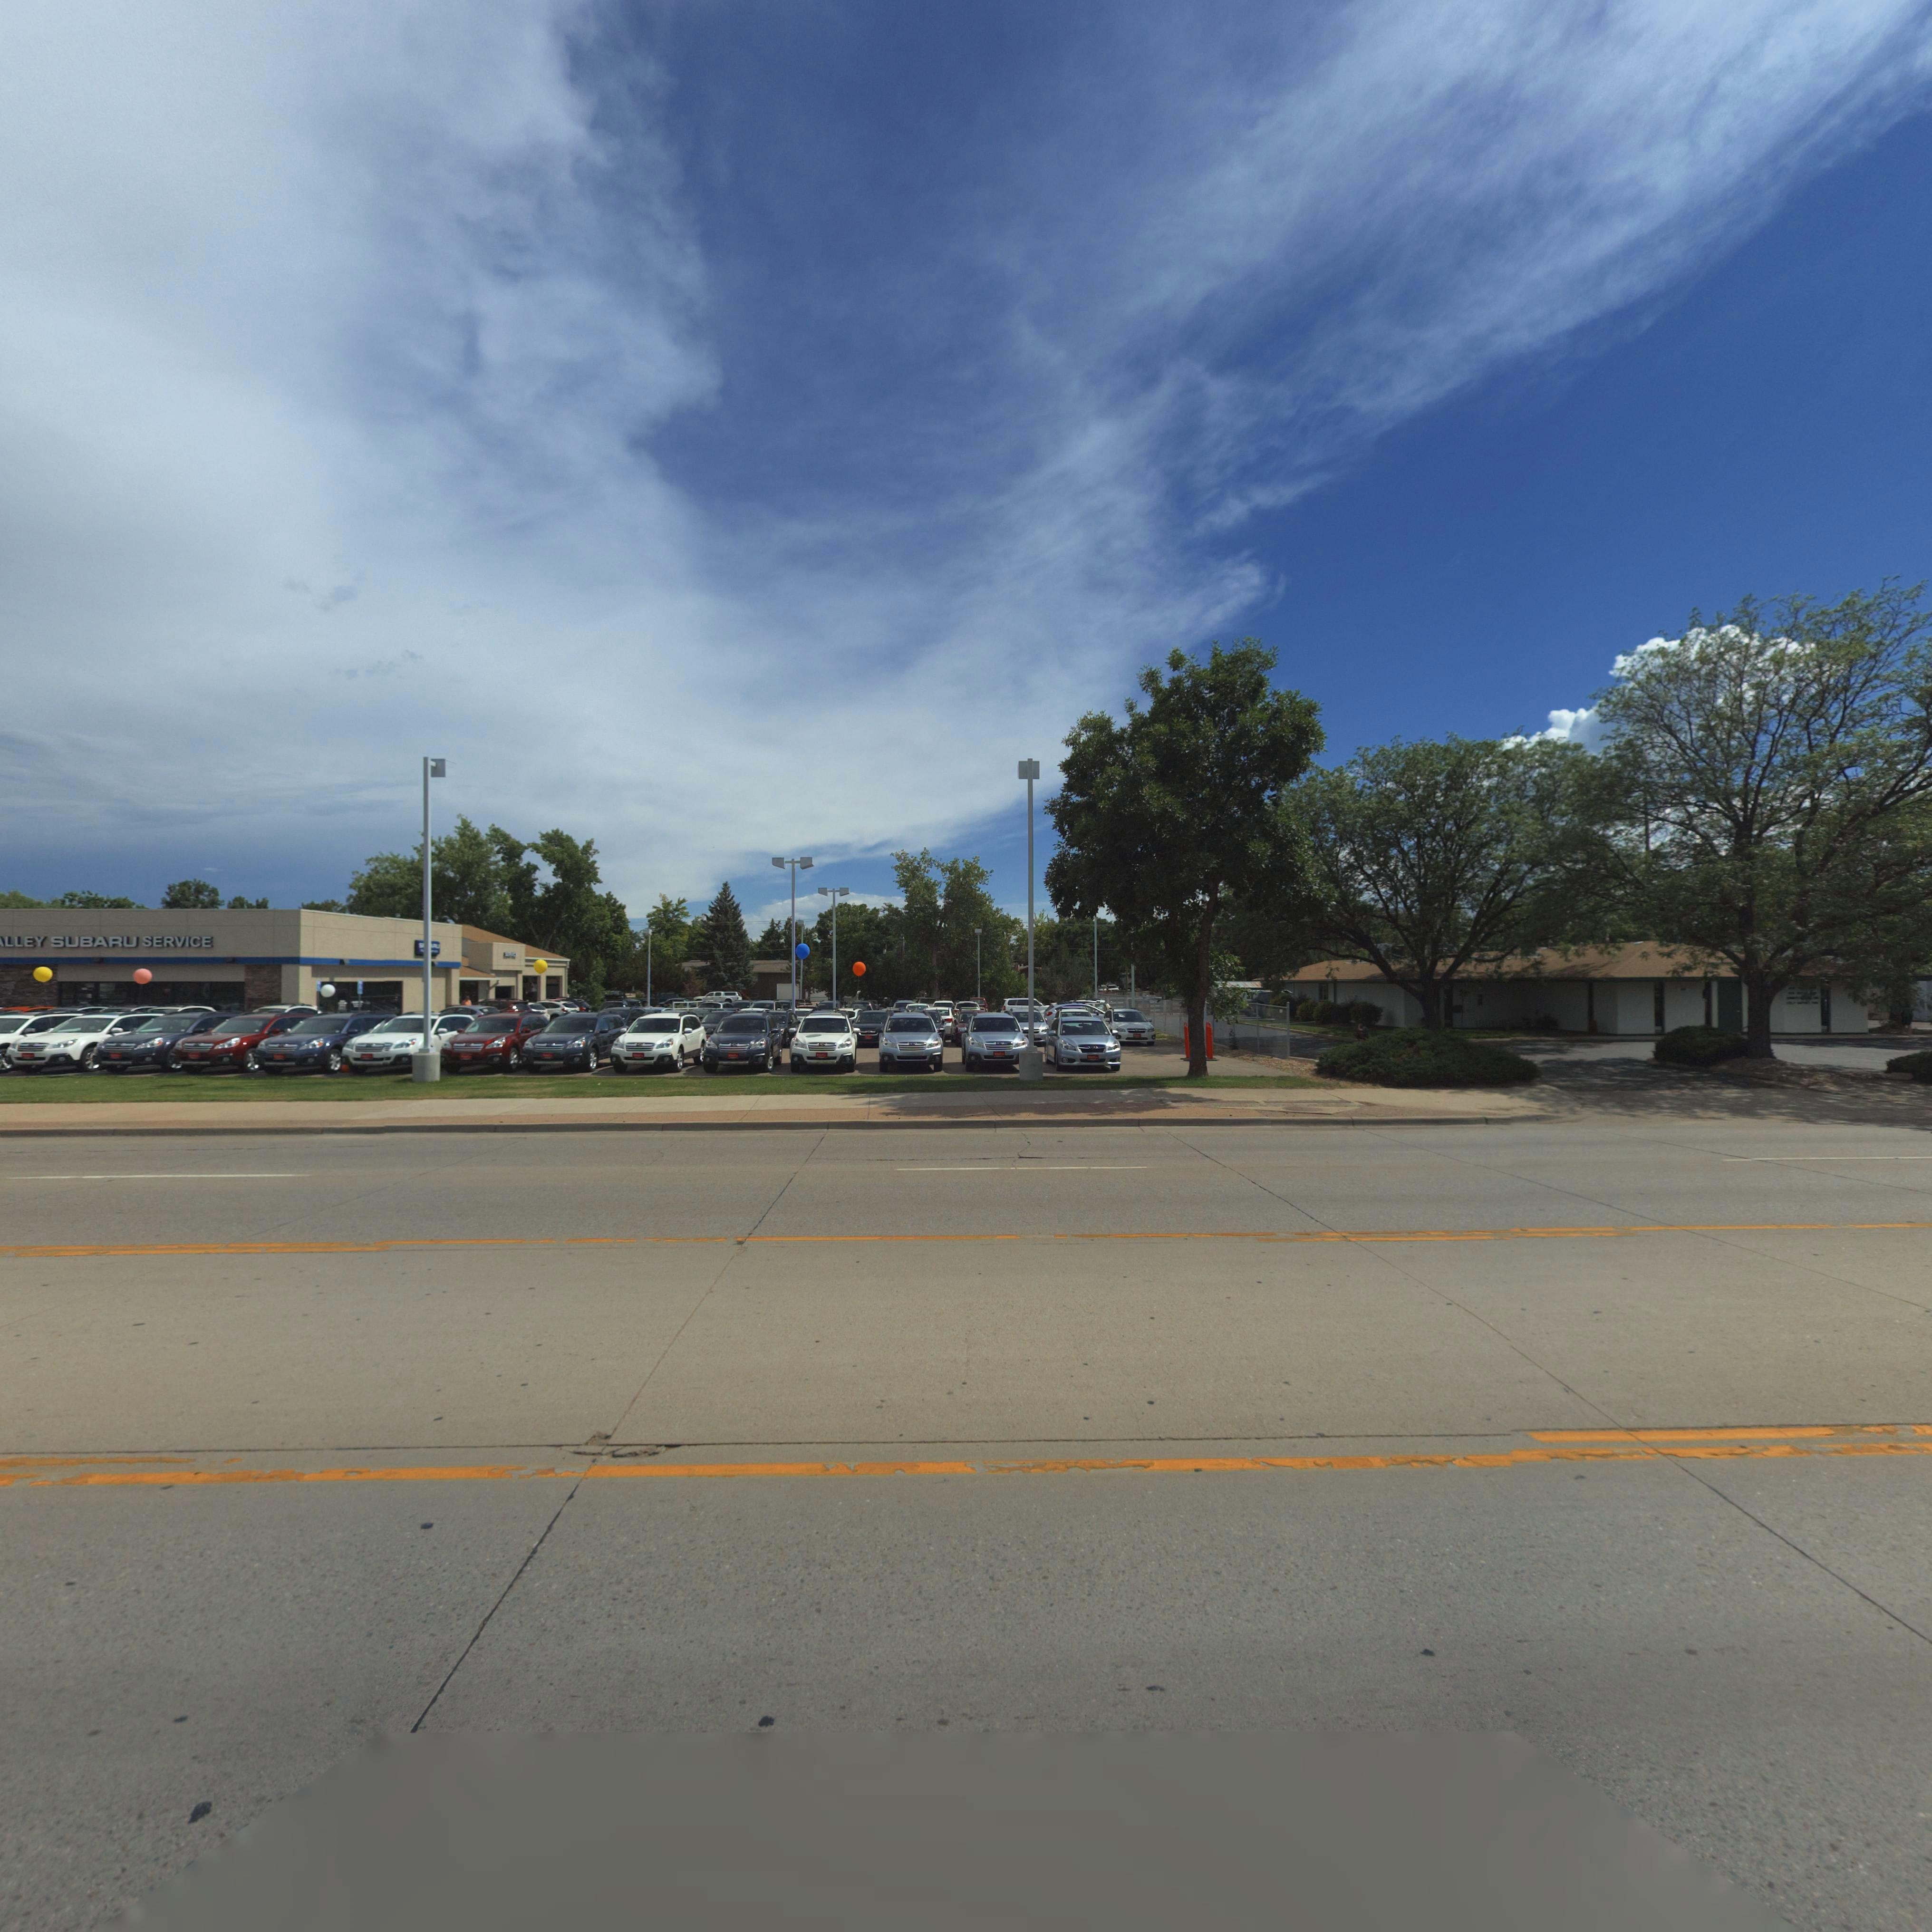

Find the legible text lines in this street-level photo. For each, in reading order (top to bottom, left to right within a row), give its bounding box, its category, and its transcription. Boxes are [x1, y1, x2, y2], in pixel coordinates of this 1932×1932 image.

[418, 942, 440, 949] BusinessName: S***RU